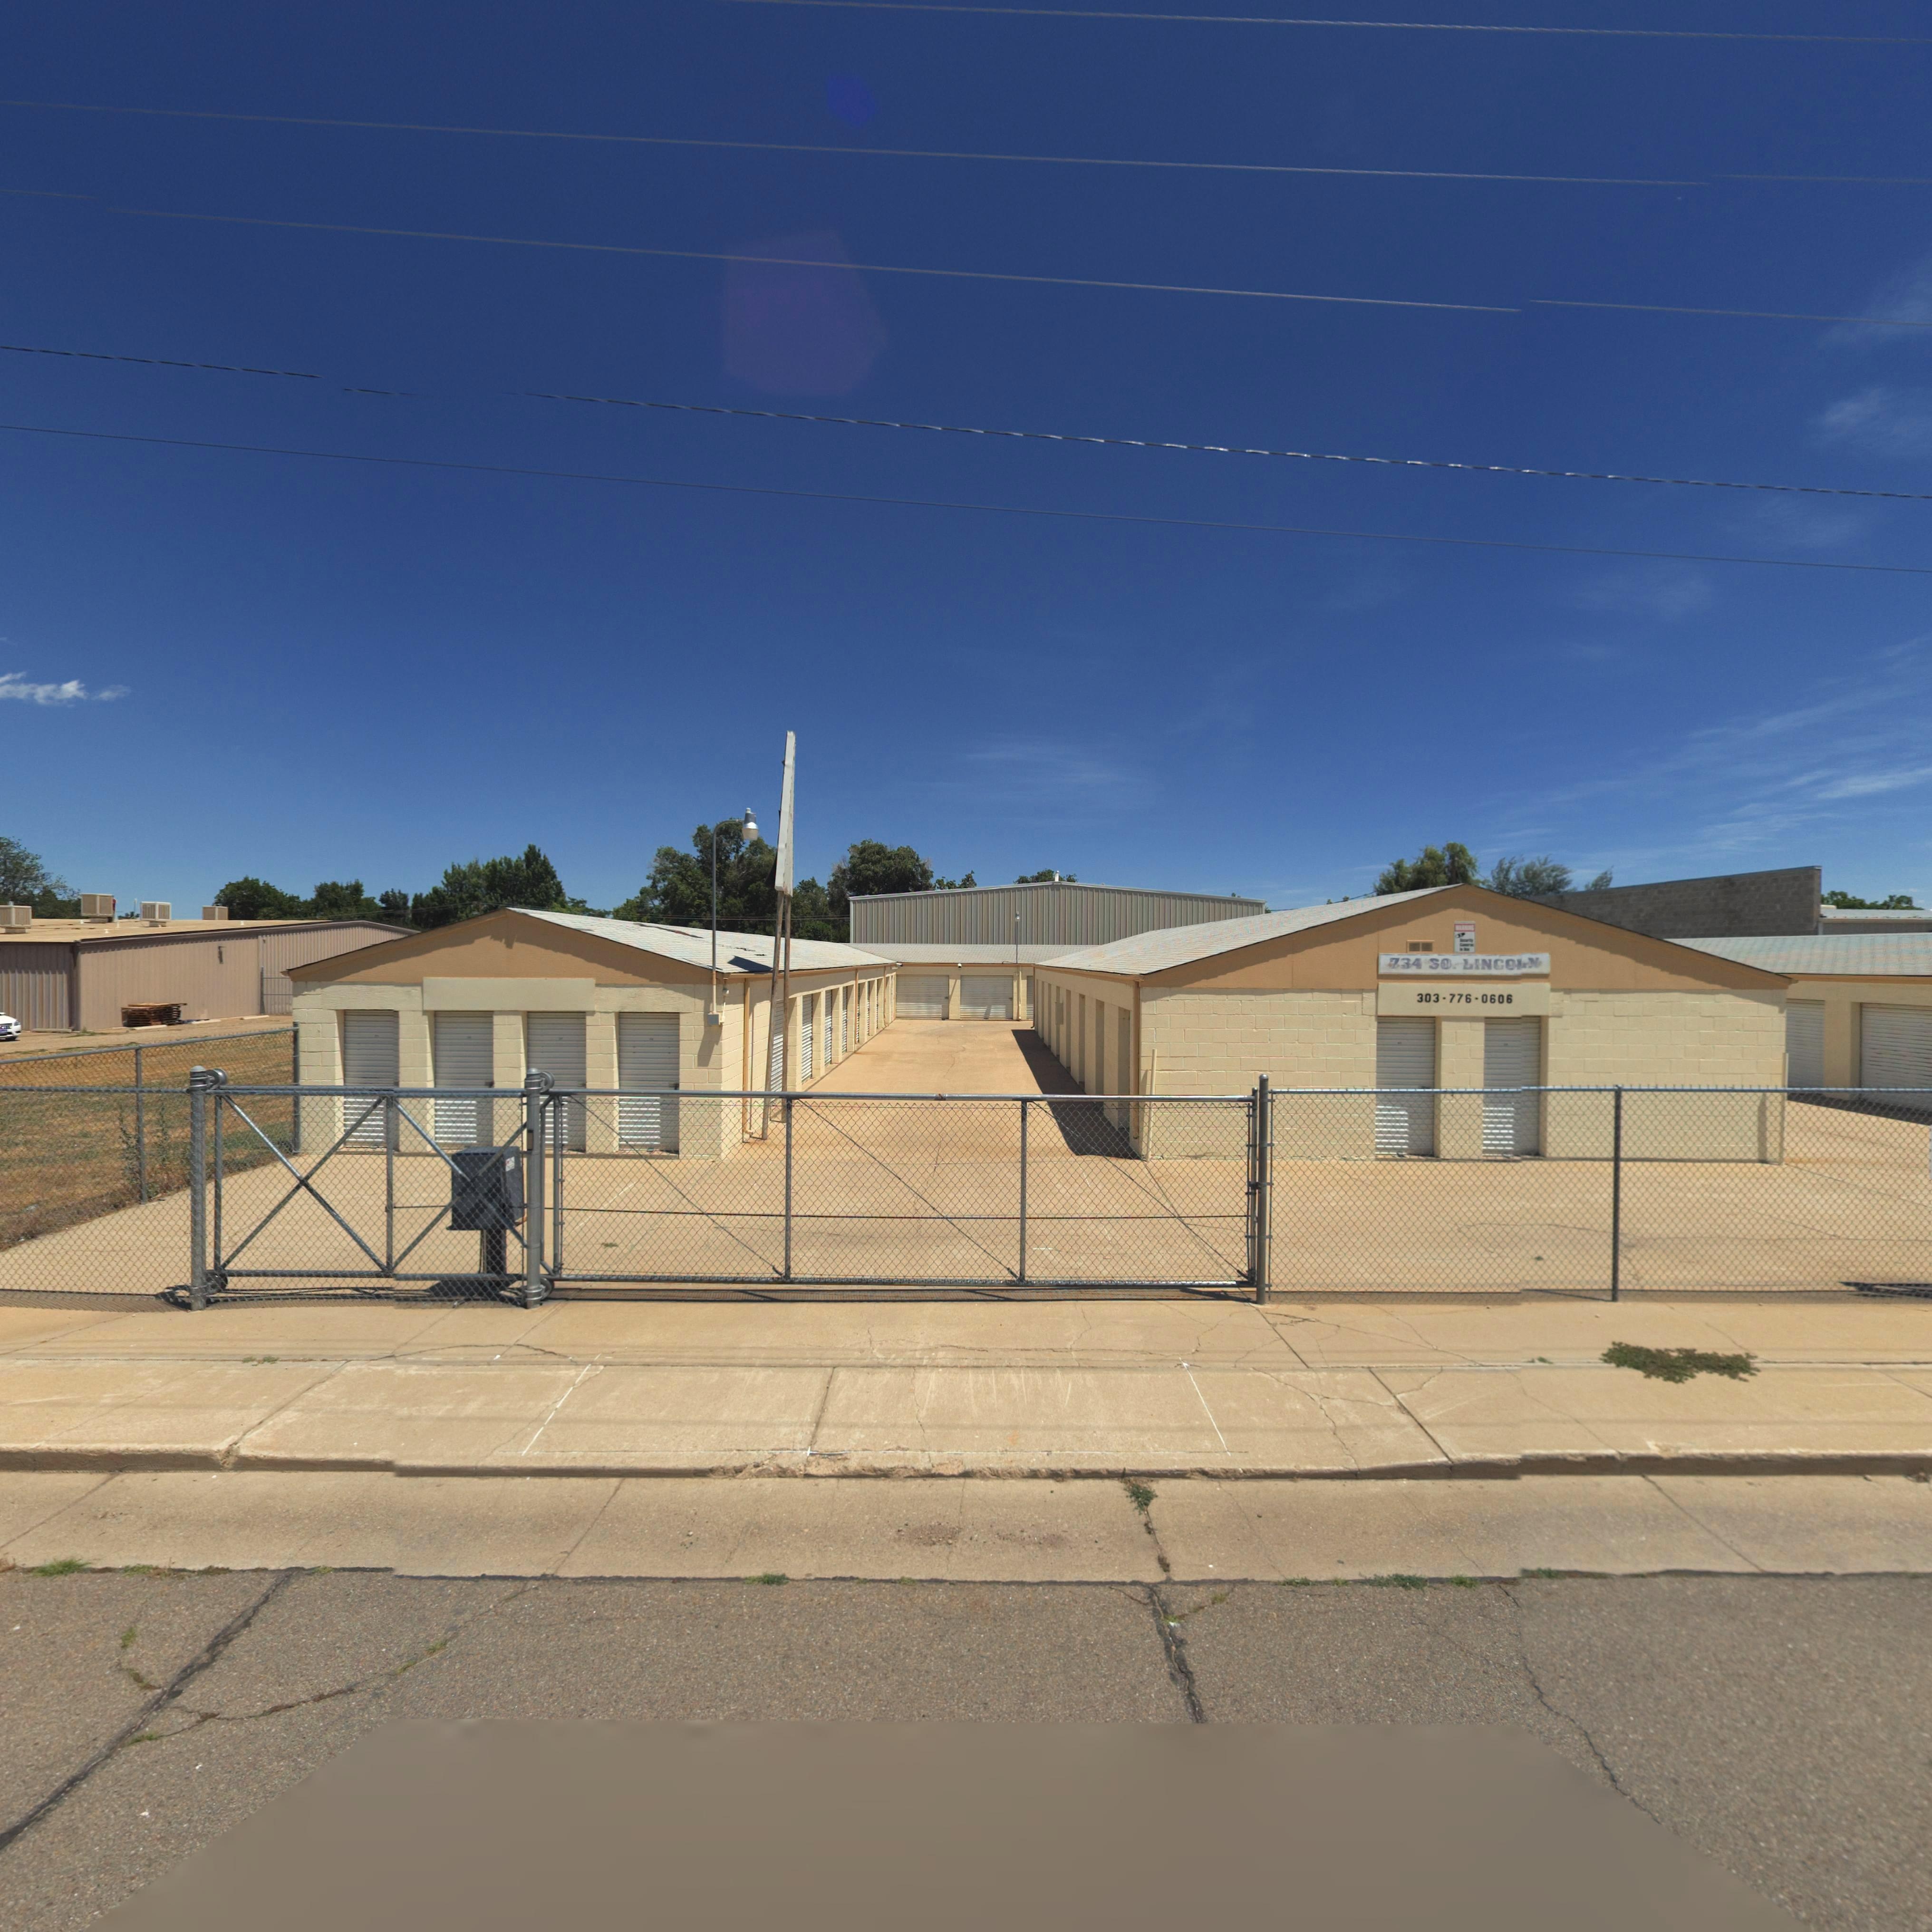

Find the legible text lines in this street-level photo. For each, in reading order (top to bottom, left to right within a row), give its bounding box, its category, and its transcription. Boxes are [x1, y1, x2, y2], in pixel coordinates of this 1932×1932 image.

[1389, 956, 1422, 969] StreetNumber: 734
[1428, 956, 1540, 971] StreetName: SO. LINCOLN